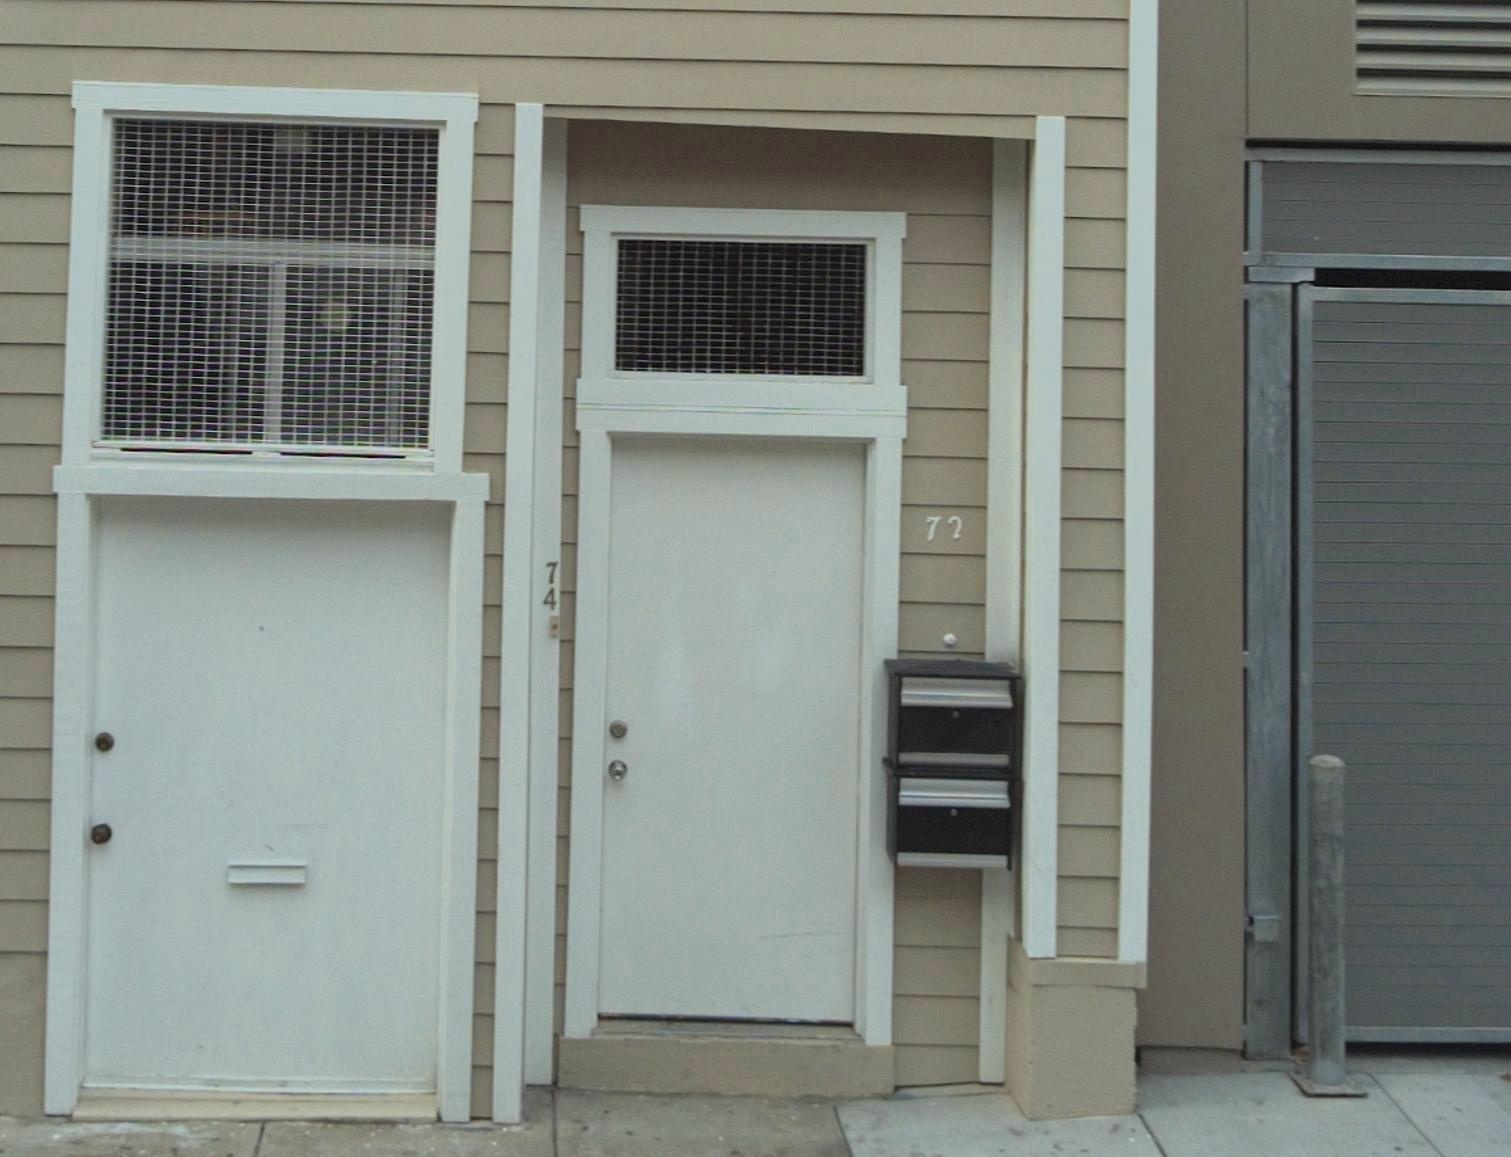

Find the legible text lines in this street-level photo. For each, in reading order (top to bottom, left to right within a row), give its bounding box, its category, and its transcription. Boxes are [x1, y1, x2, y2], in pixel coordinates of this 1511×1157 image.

[923, 514, 963, 543] StreetNumber: 72
[541, 560, 560, 612] StreetNumber: 74